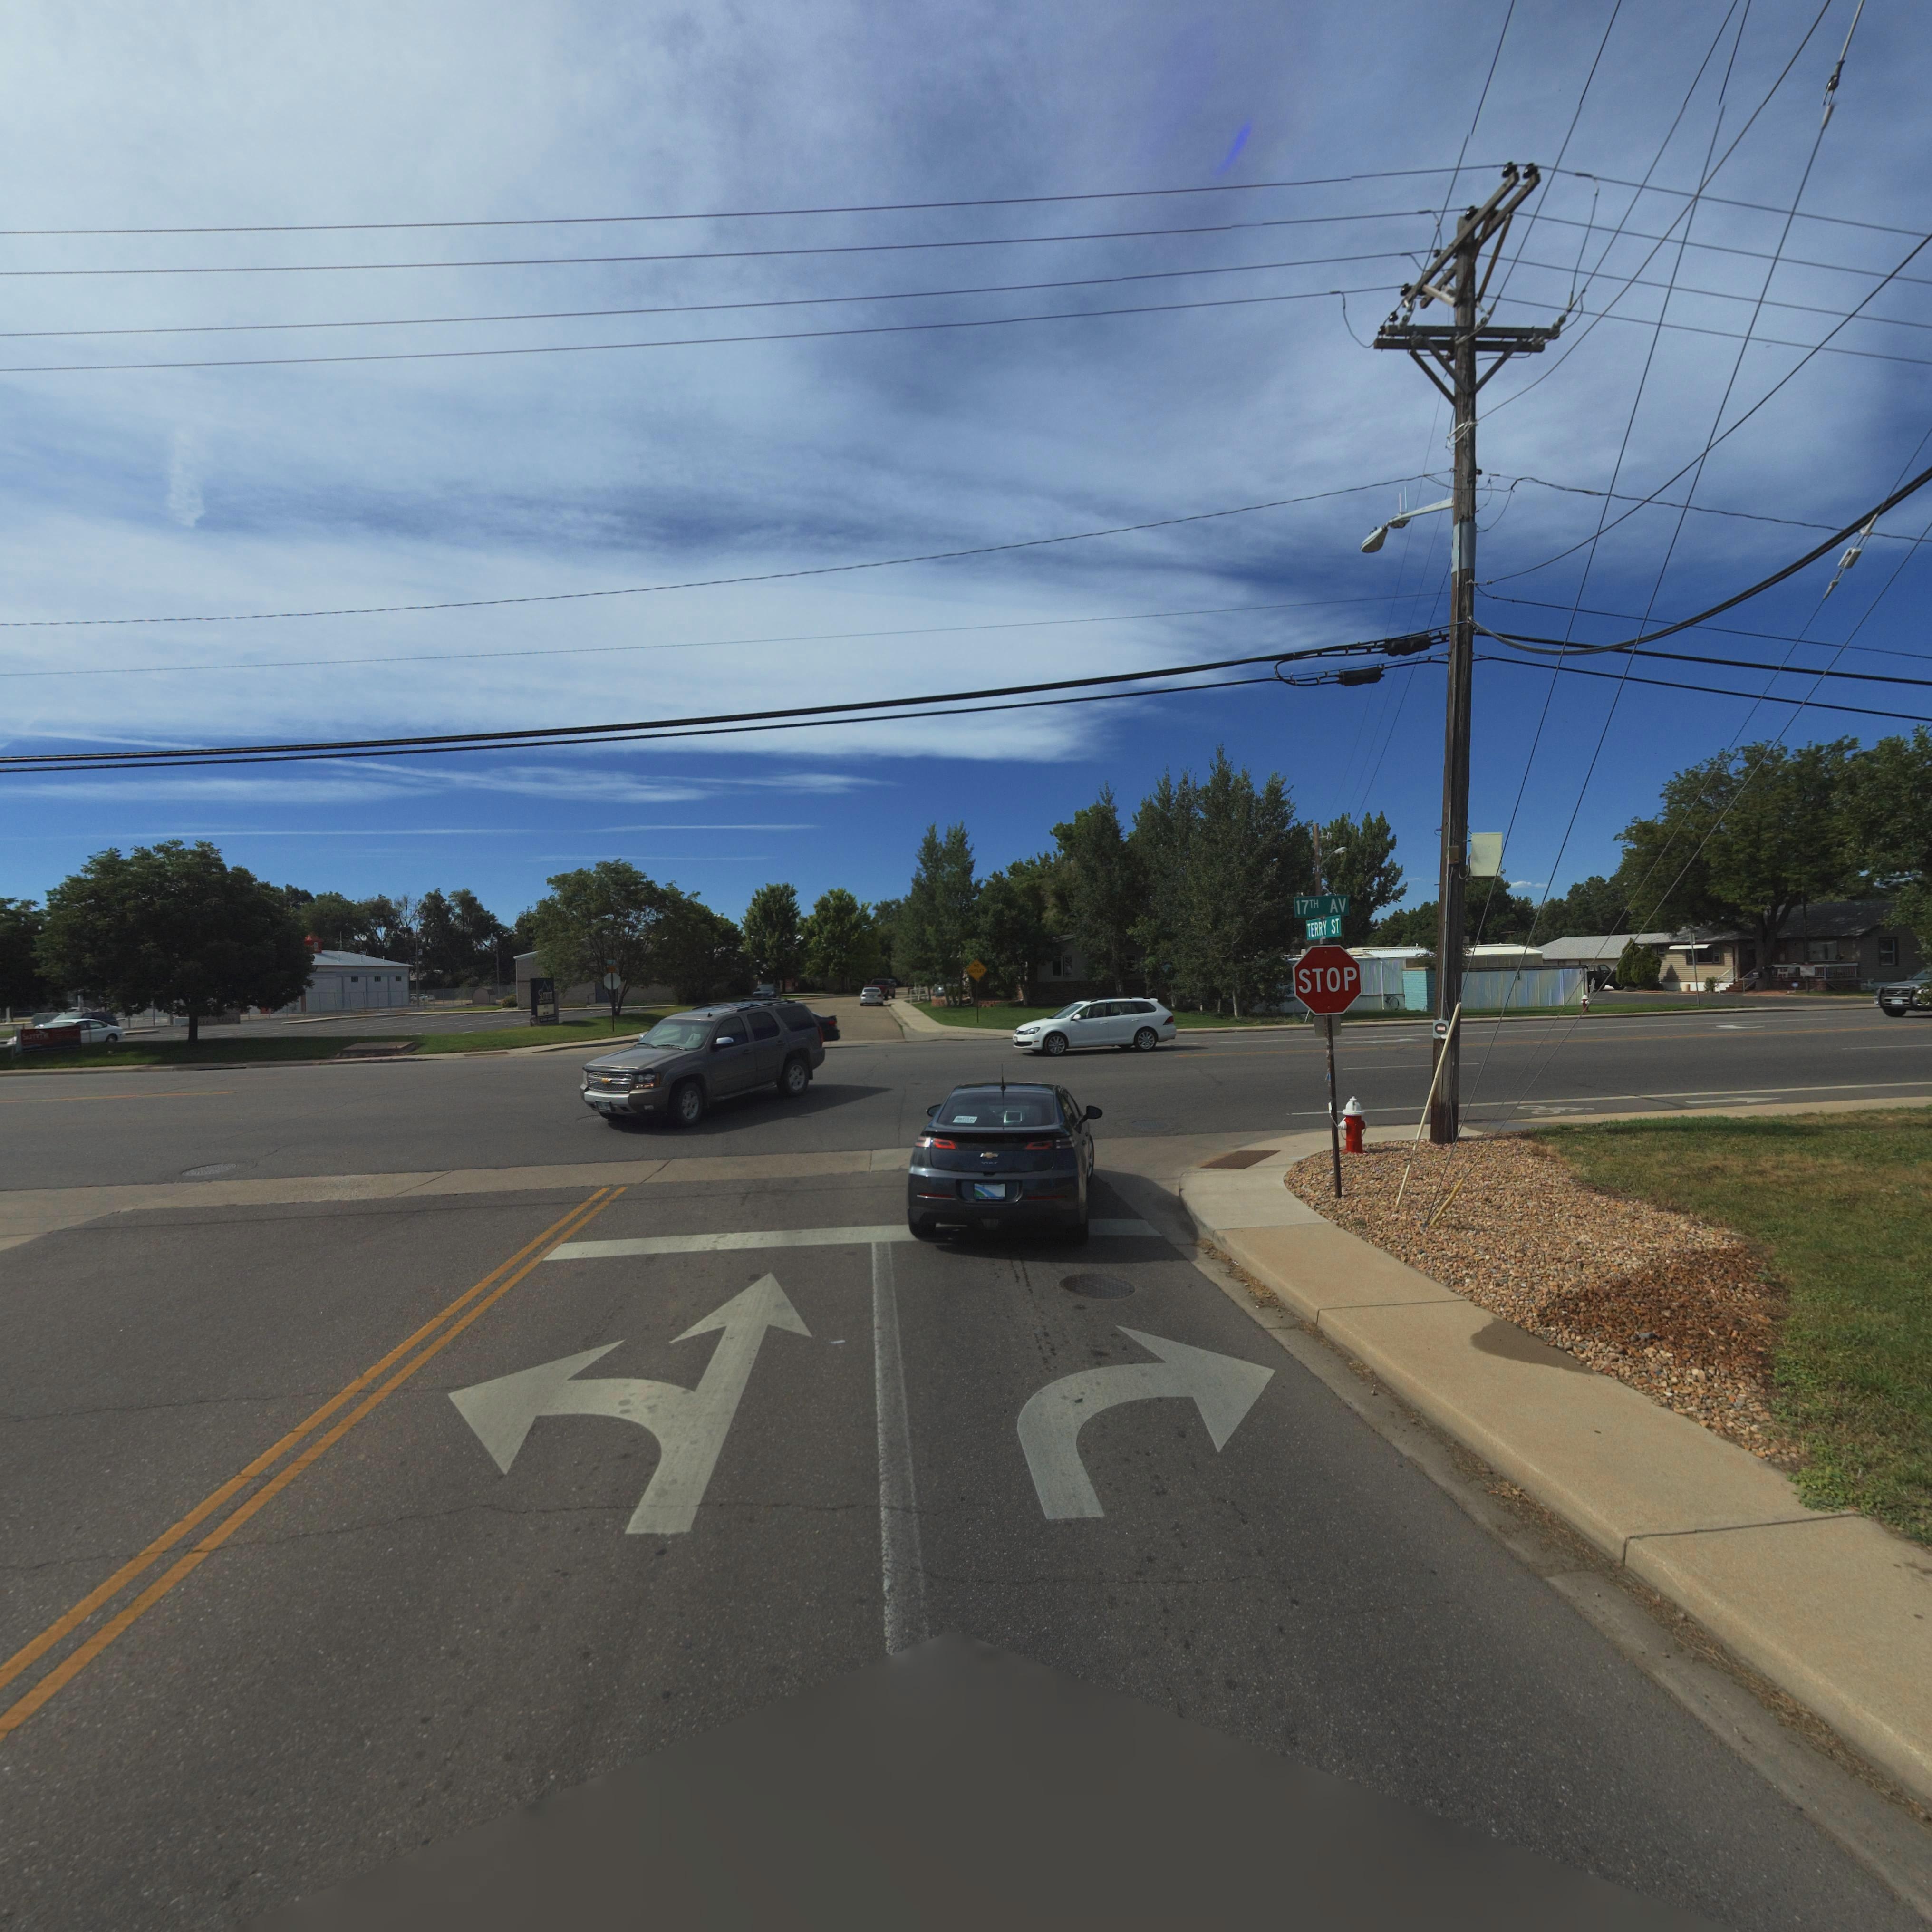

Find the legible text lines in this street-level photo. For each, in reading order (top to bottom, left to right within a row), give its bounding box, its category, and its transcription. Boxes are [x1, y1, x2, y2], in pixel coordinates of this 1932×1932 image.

[1295, 897, 1347, 916] StreetName: 17TH AV
[1306, 917, 1339, 938] StreetName: TERRY ST
[538, 989, 554, 1001] BusinessName: Summ*t
[21, 1032, 49, 1041] BusinessName: Sum***